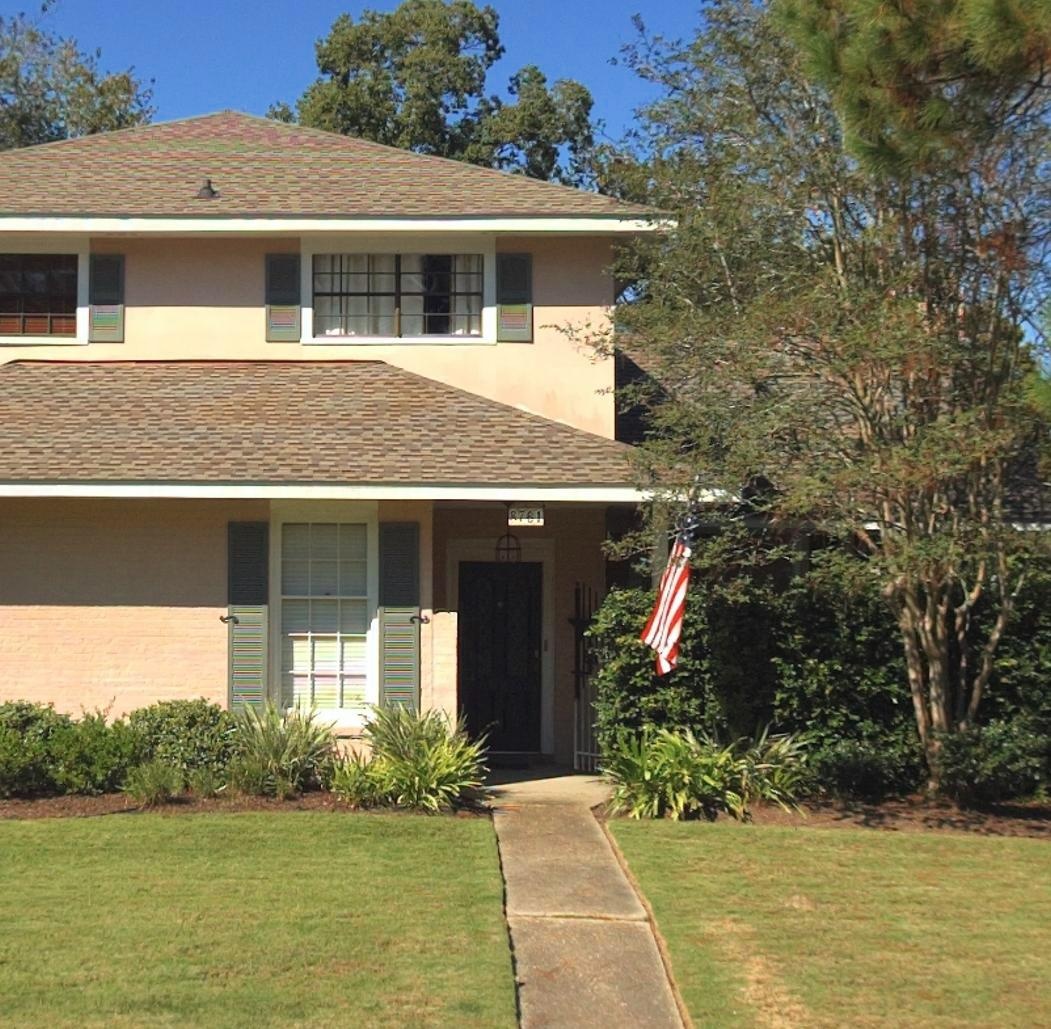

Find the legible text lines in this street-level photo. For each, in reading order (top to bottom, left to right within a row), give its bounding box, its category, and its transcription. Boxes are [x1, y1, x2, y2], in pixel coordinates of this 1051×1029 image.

[509, 509, 542, 524] StreetNumber: 8761